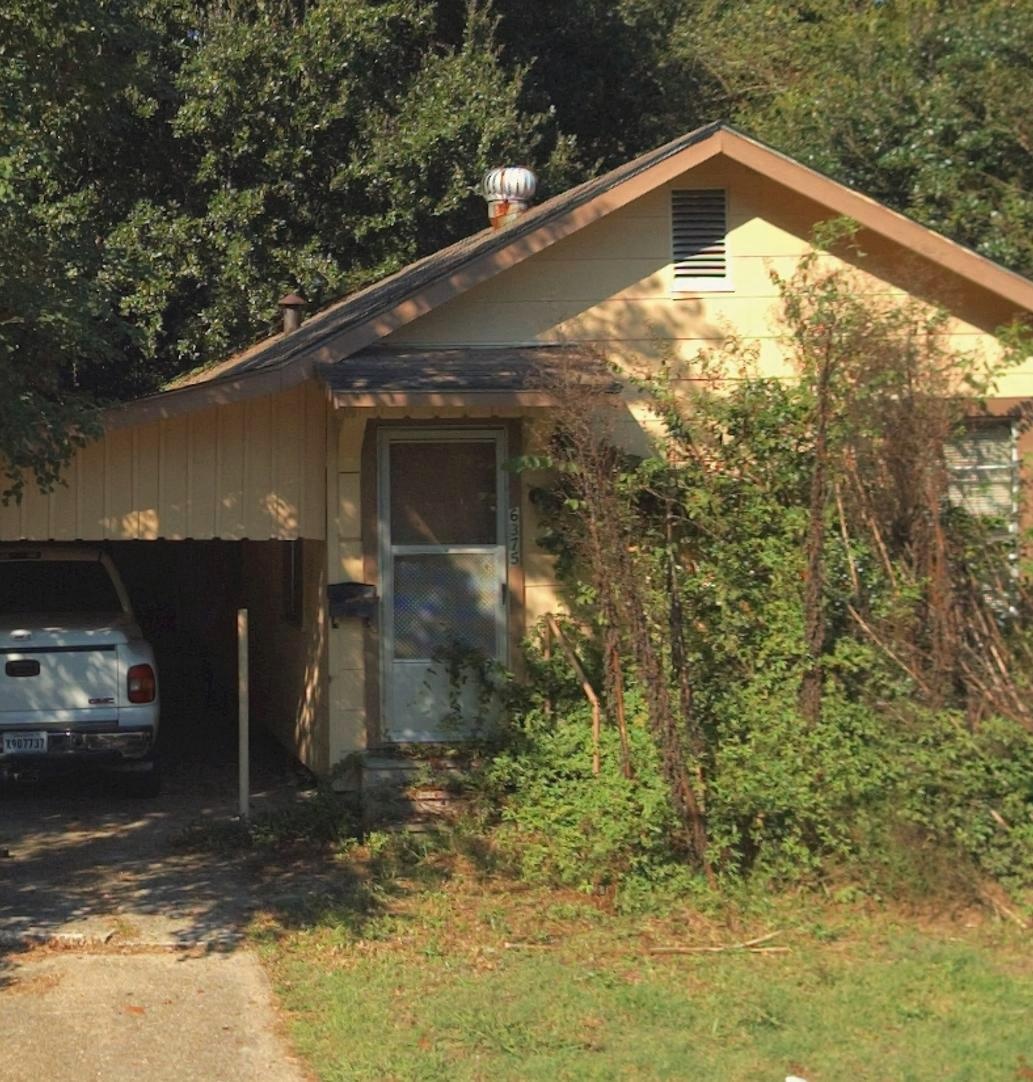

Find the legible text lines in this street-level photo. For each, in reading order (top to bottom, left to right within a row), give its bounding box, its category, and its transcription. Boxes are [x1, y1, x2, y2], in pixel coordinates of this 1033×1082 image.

[508, 507, 521, 566] StreetNumber: 6375
[87, 697, 115, 705] None: GMC
[4, 737, 45, 750] None: X907737